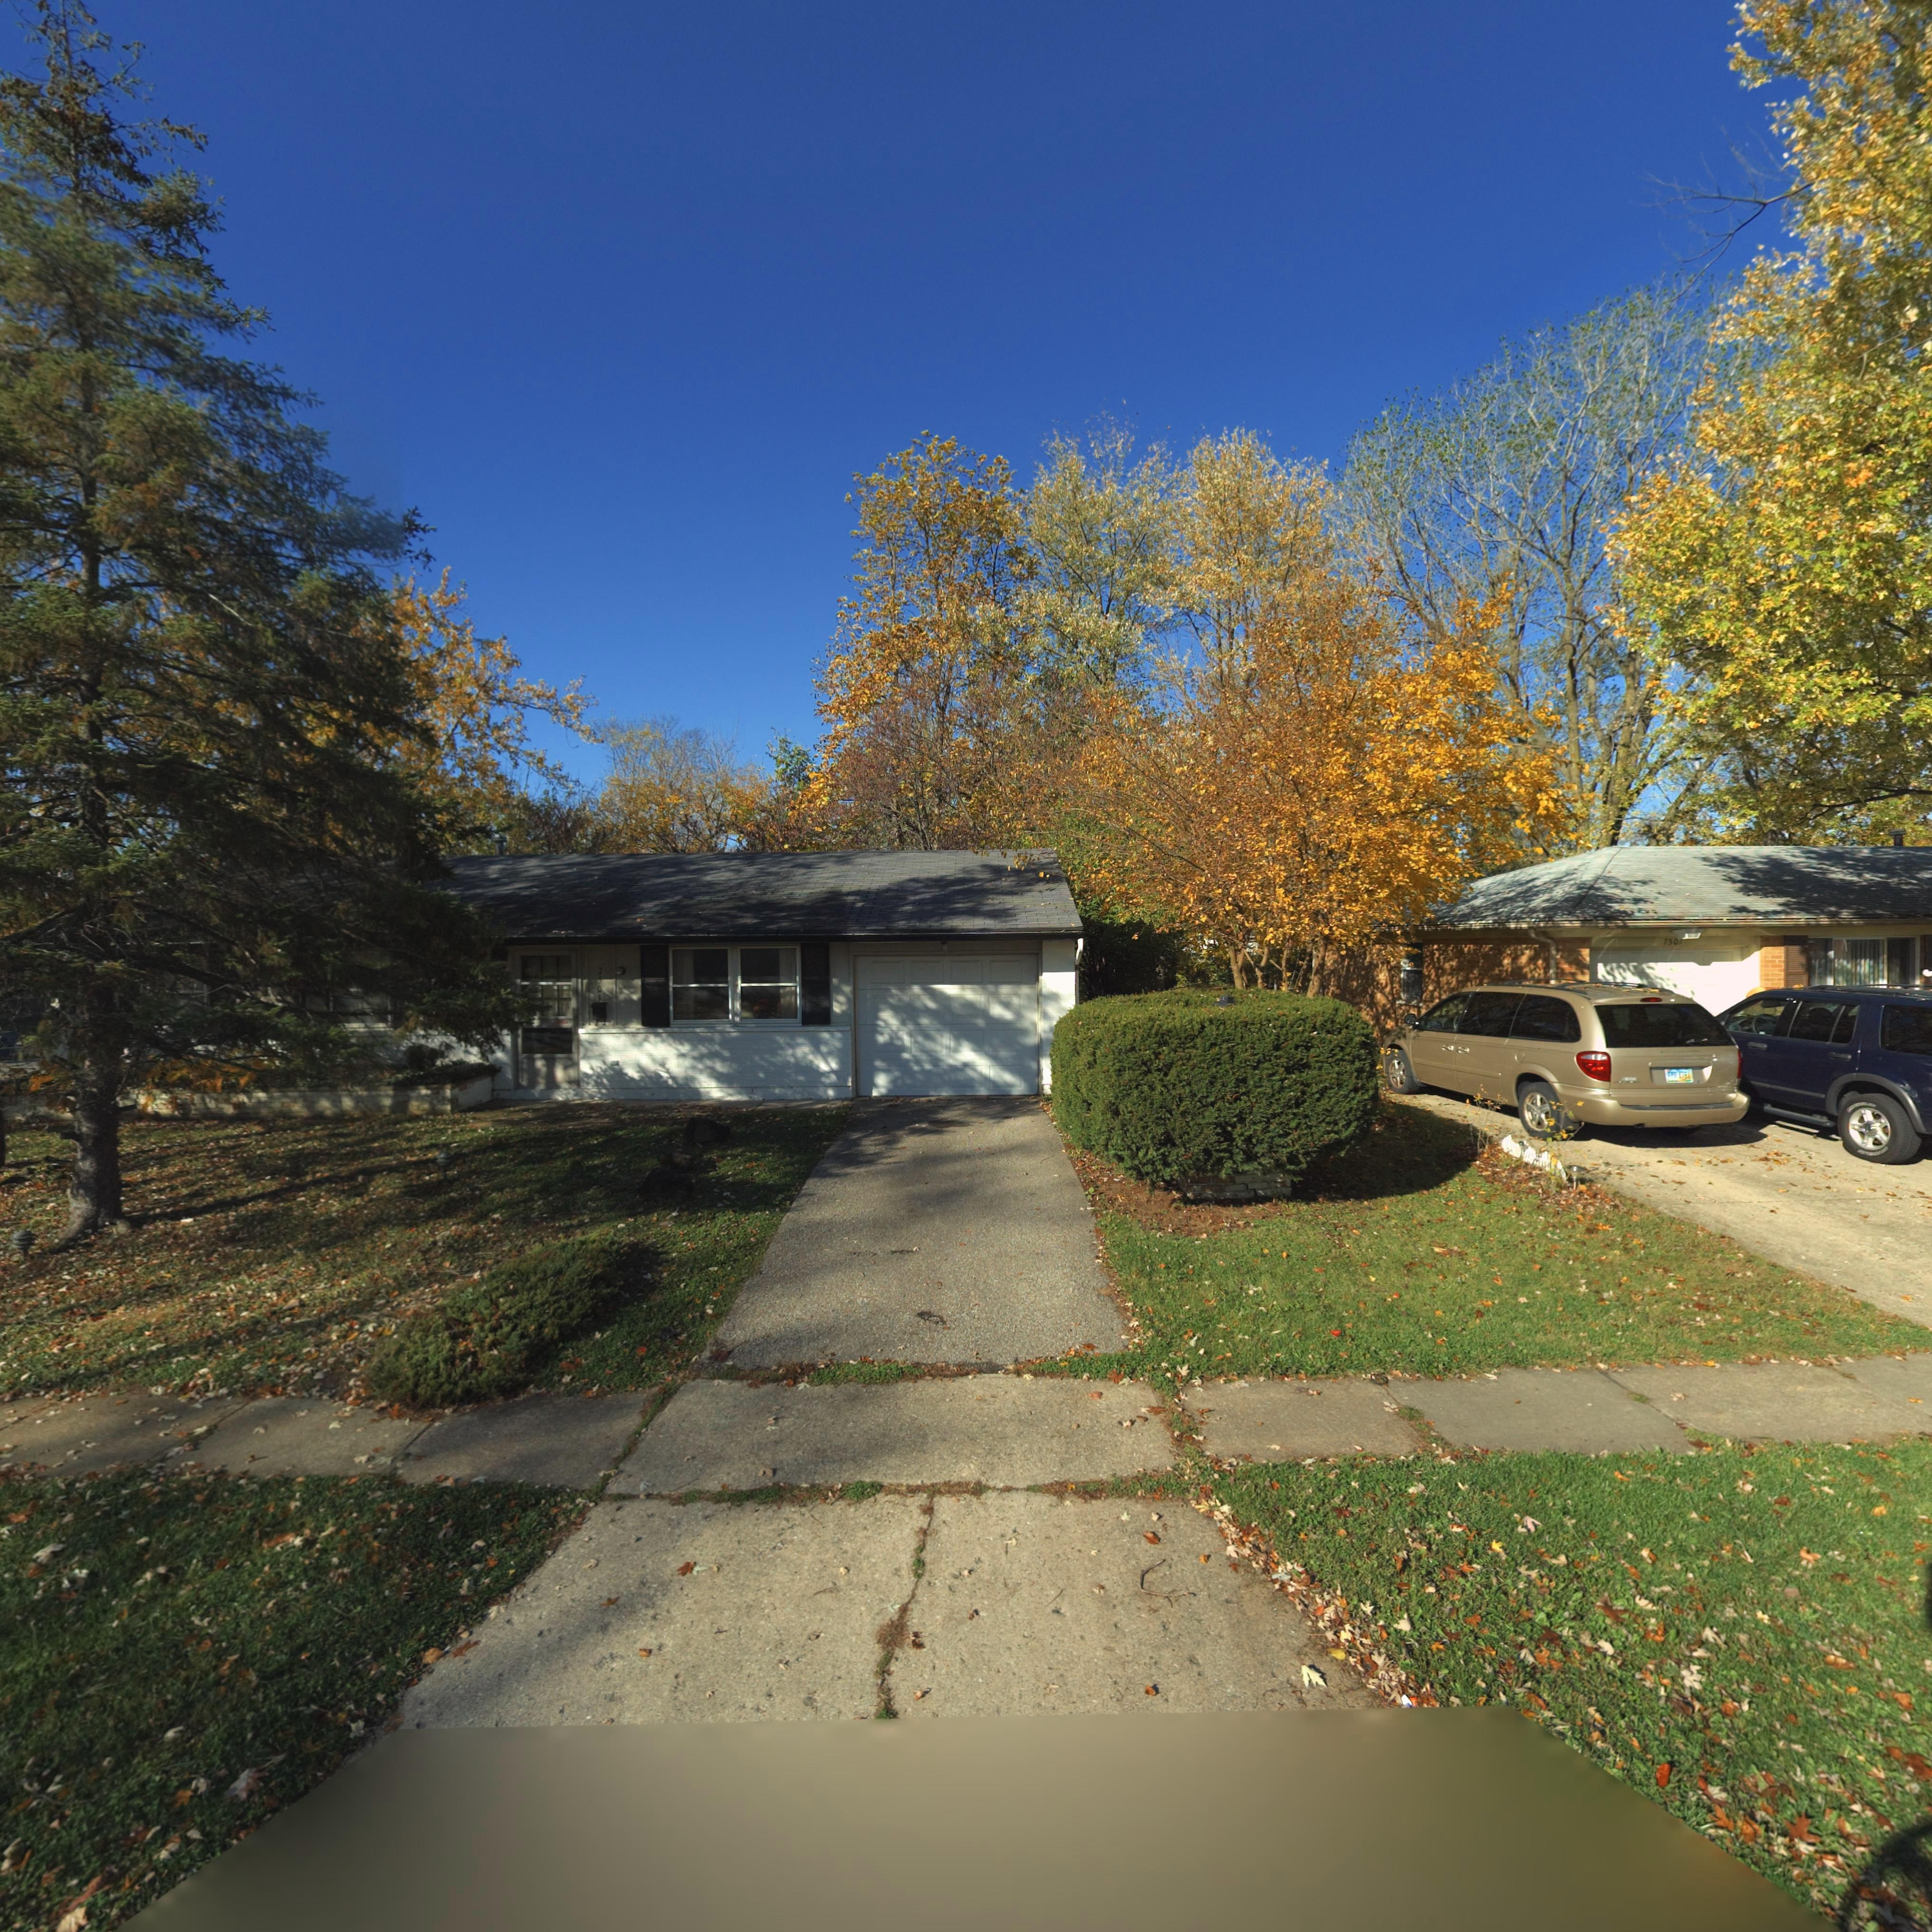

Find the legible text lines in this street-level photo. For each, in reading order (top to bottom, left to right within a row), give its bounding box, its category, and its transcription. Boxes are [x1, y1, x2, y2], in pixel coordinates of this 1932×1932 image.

[1662, 937, 1684, 947] StreetNumber: 750*
[596, 966, 604, 1002] StreetNumber: 7501